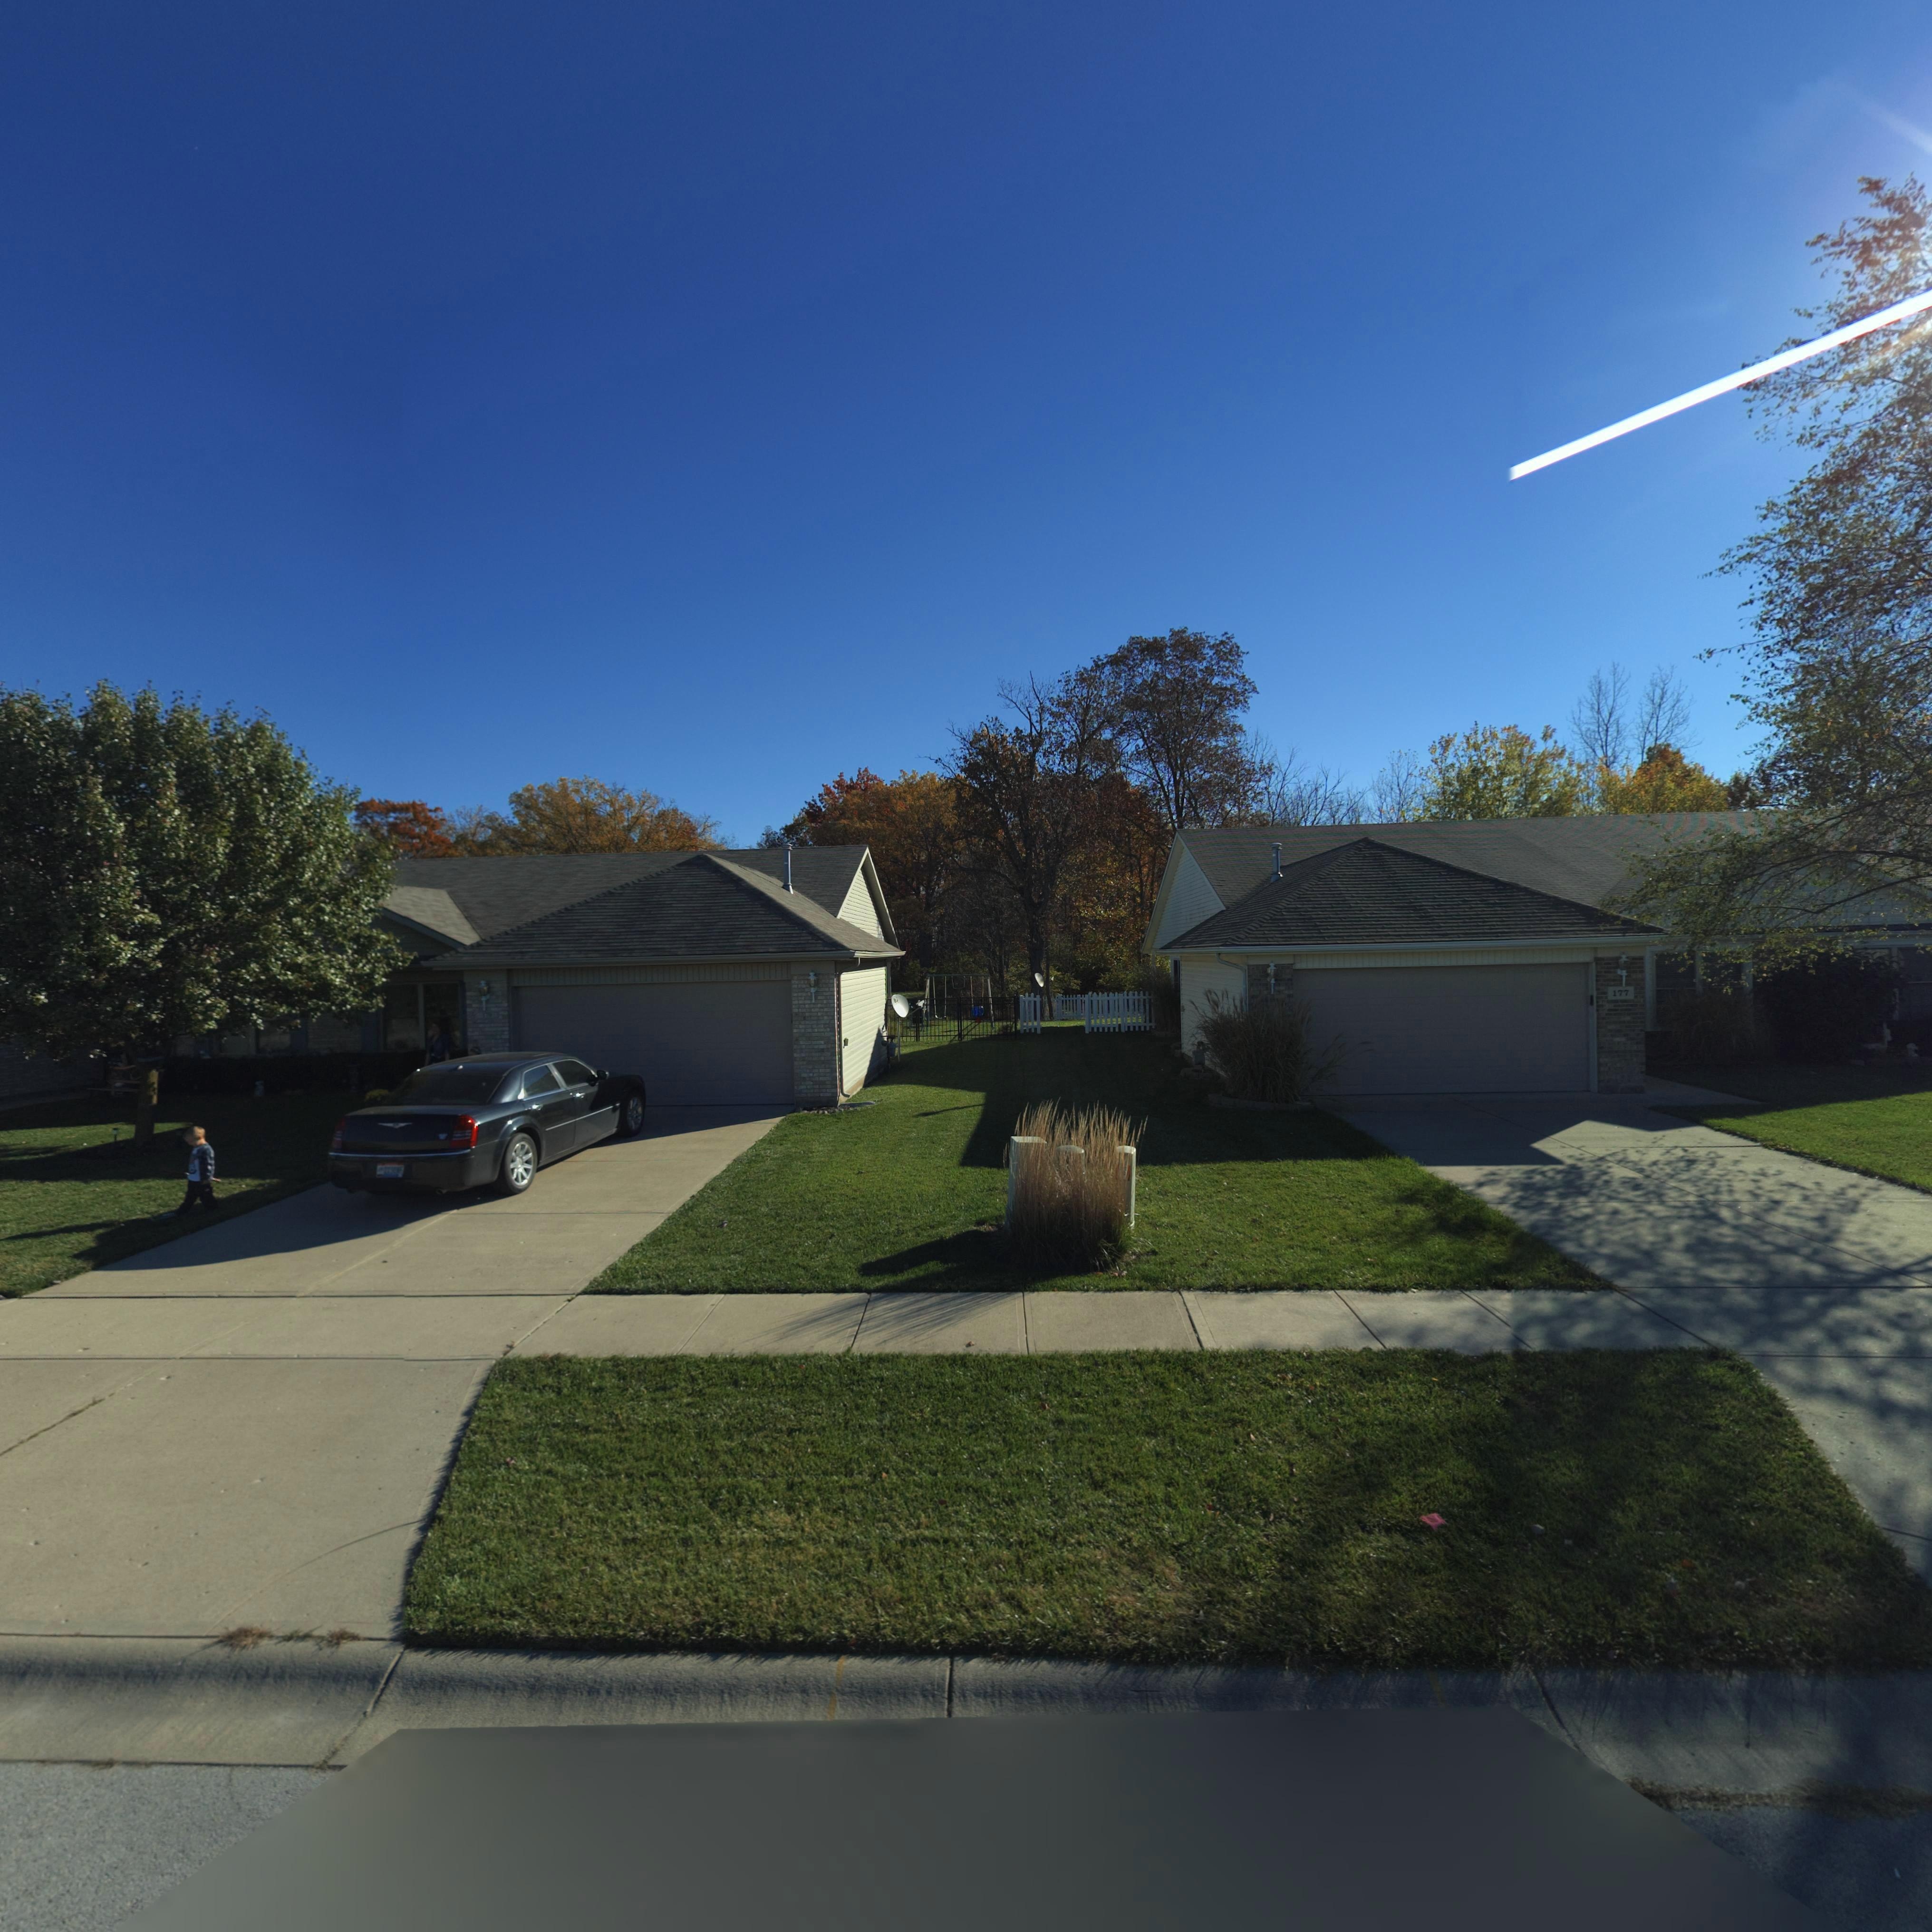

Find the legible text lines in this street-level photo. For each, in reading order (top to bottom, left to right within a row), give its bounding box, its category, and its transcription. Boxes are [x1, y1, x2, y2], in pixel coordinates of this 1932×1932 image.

[1612, 989, 1630, 997] StreetNumber: 177